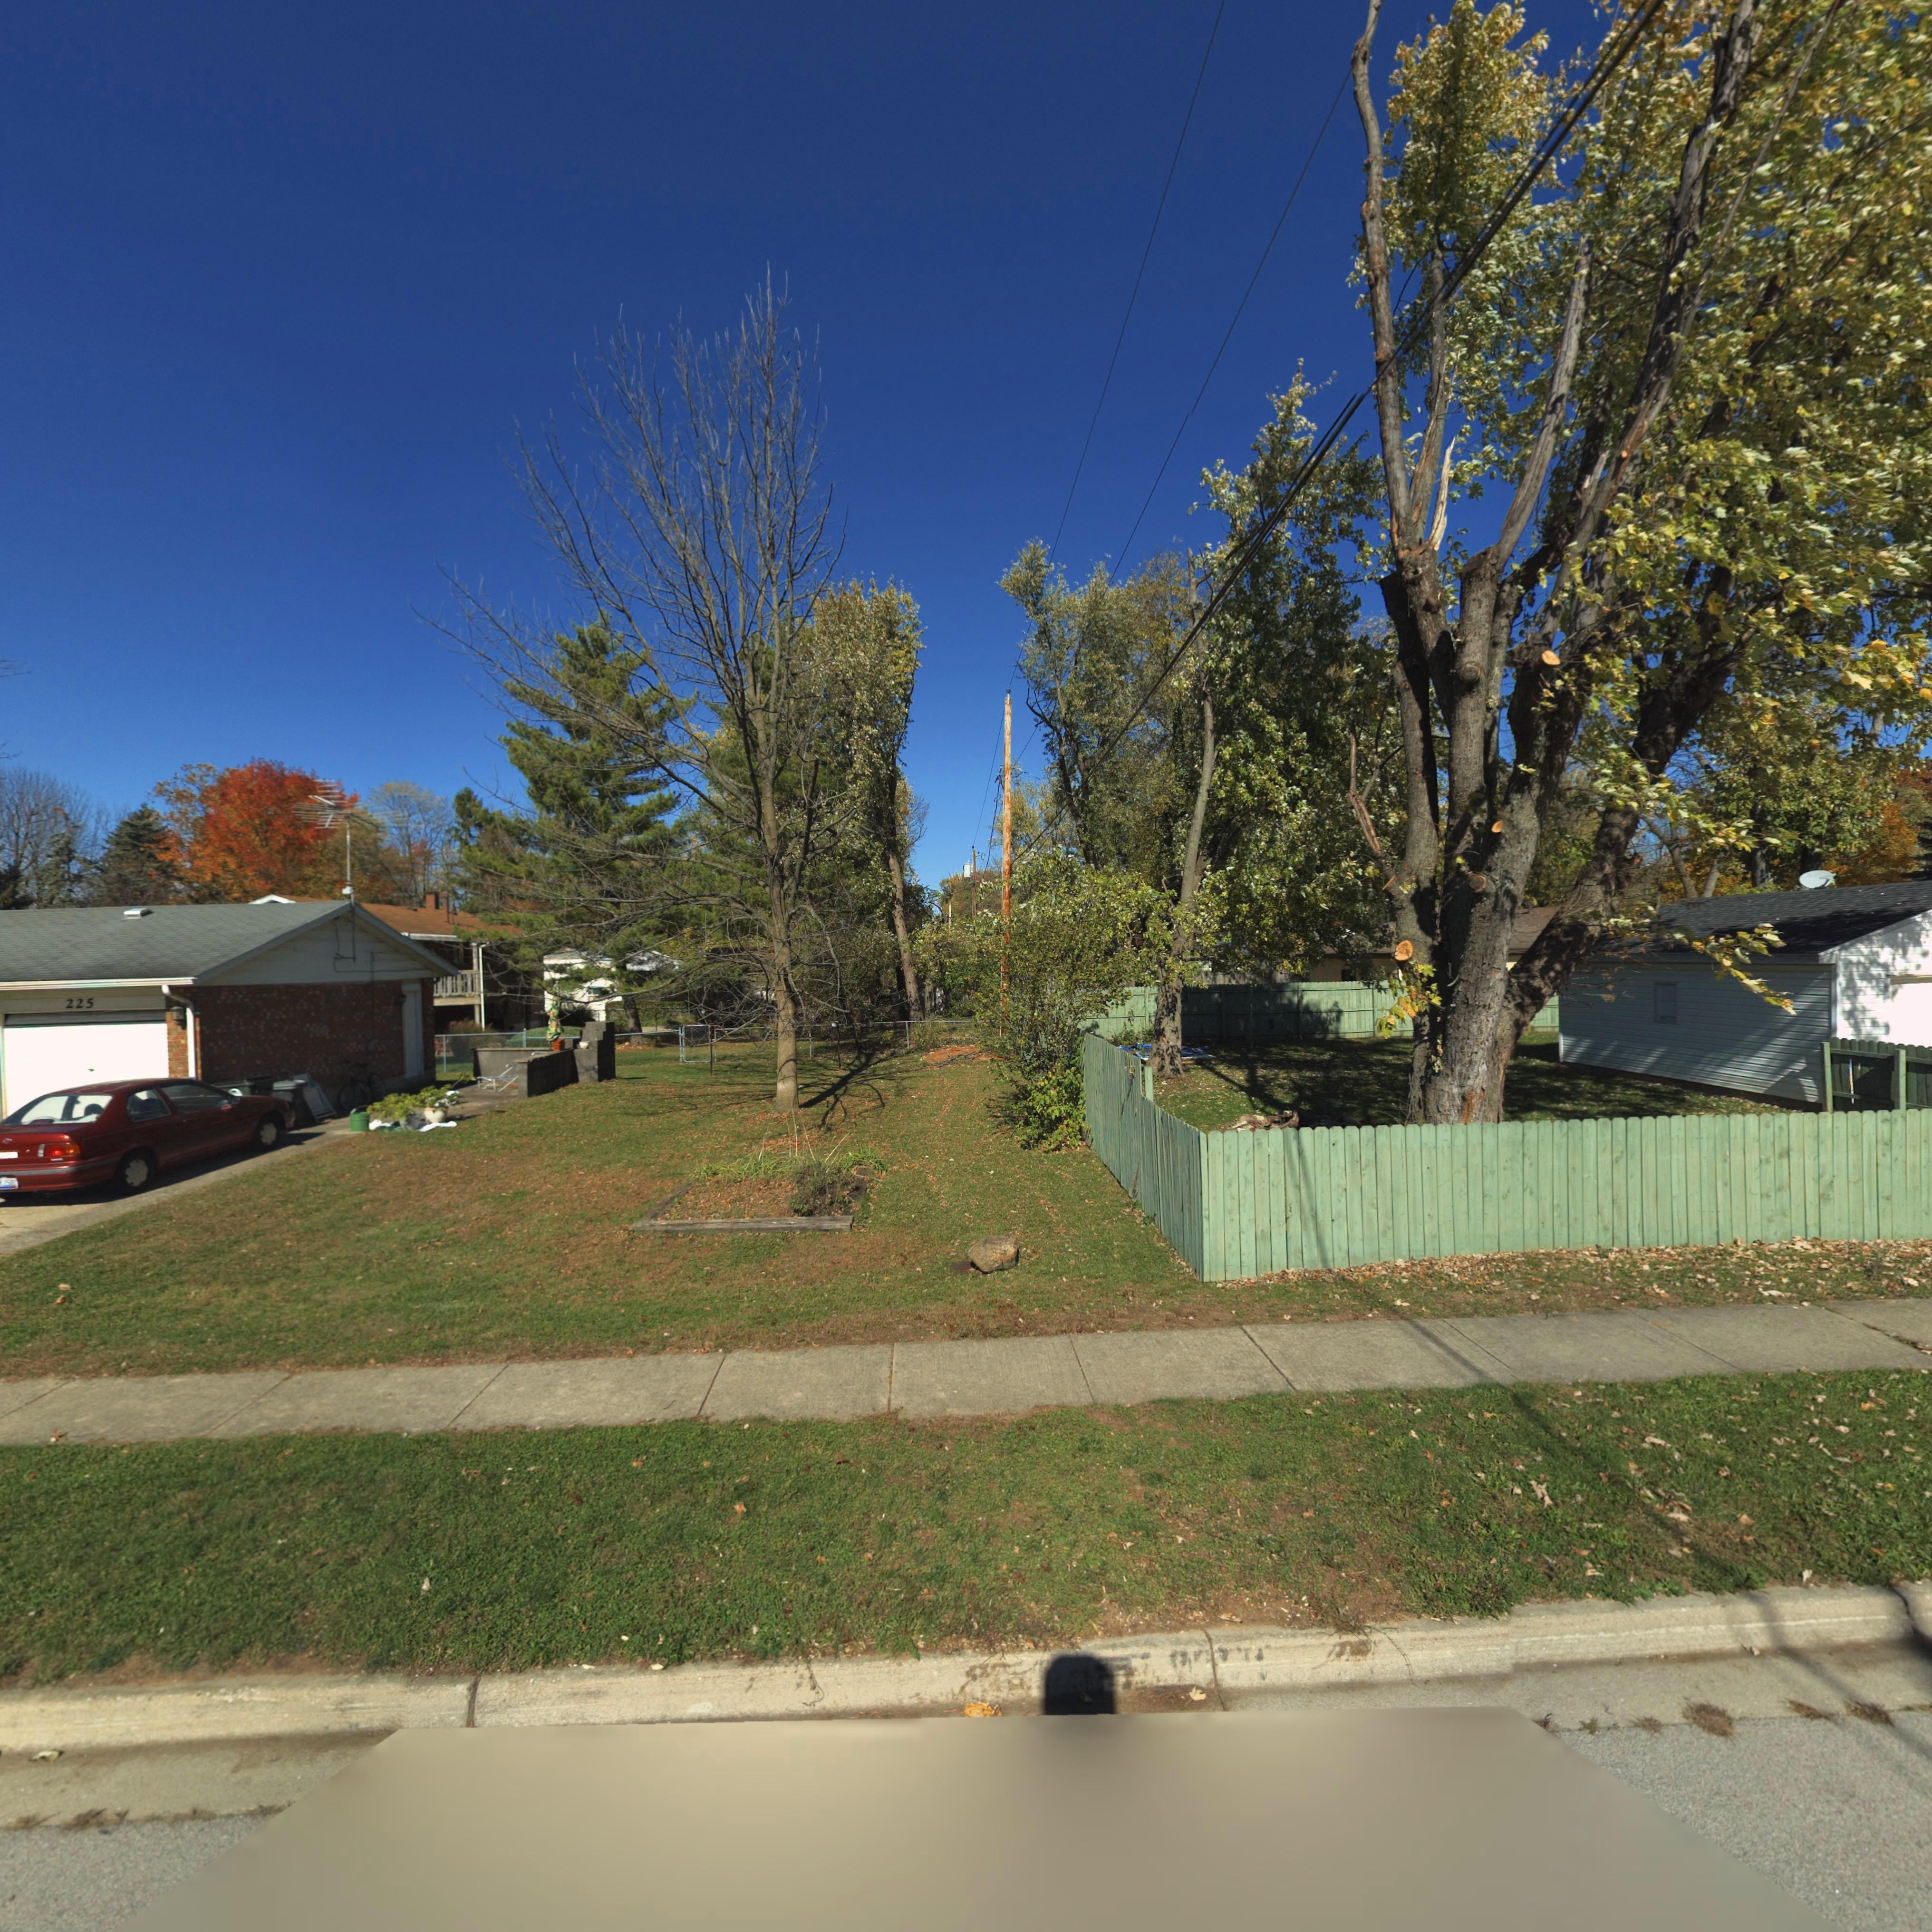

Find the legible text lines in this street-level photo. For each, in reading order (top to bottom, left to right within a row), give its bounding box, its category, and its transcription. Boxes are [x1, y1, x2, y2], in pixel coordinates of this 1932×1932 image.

[64, 997, 94, 1009] StreetNumber: 225